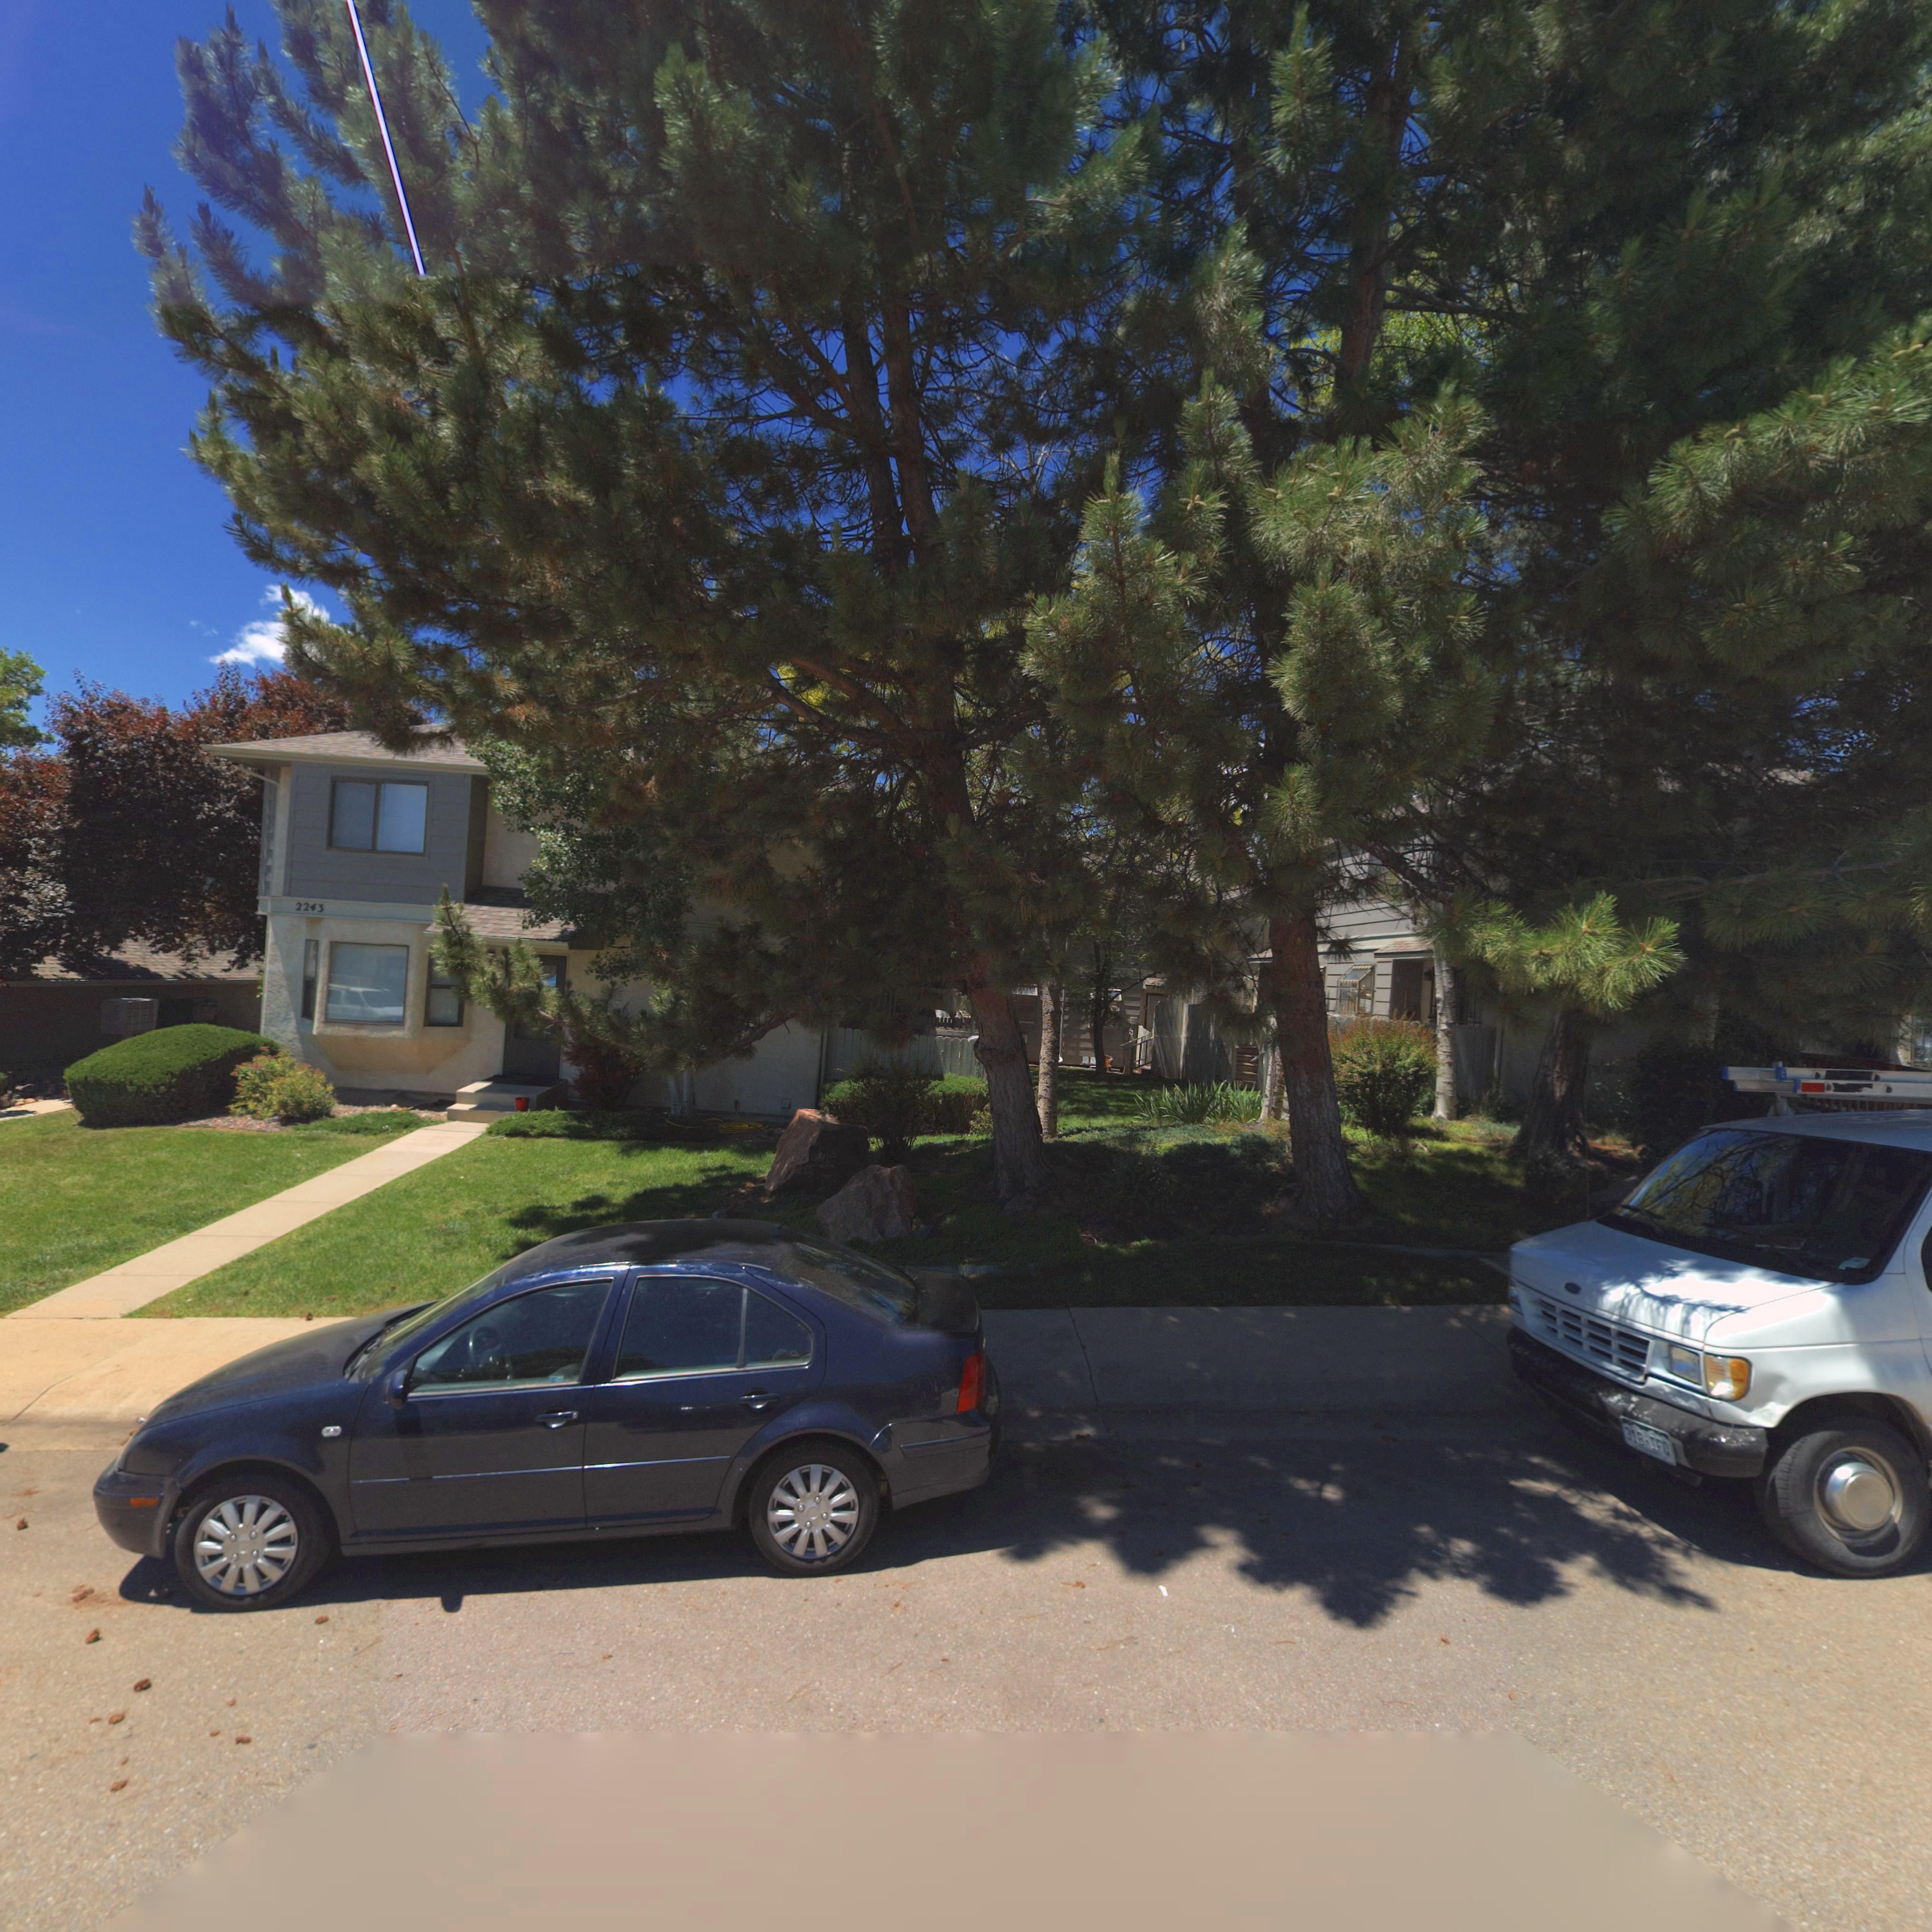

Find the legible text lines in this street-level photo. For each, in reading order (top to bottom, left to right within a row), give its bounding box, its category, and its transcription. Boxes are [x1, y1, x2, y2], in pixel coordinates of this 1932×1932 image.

[295, 901, 324, 913] StreetNumber: 2243